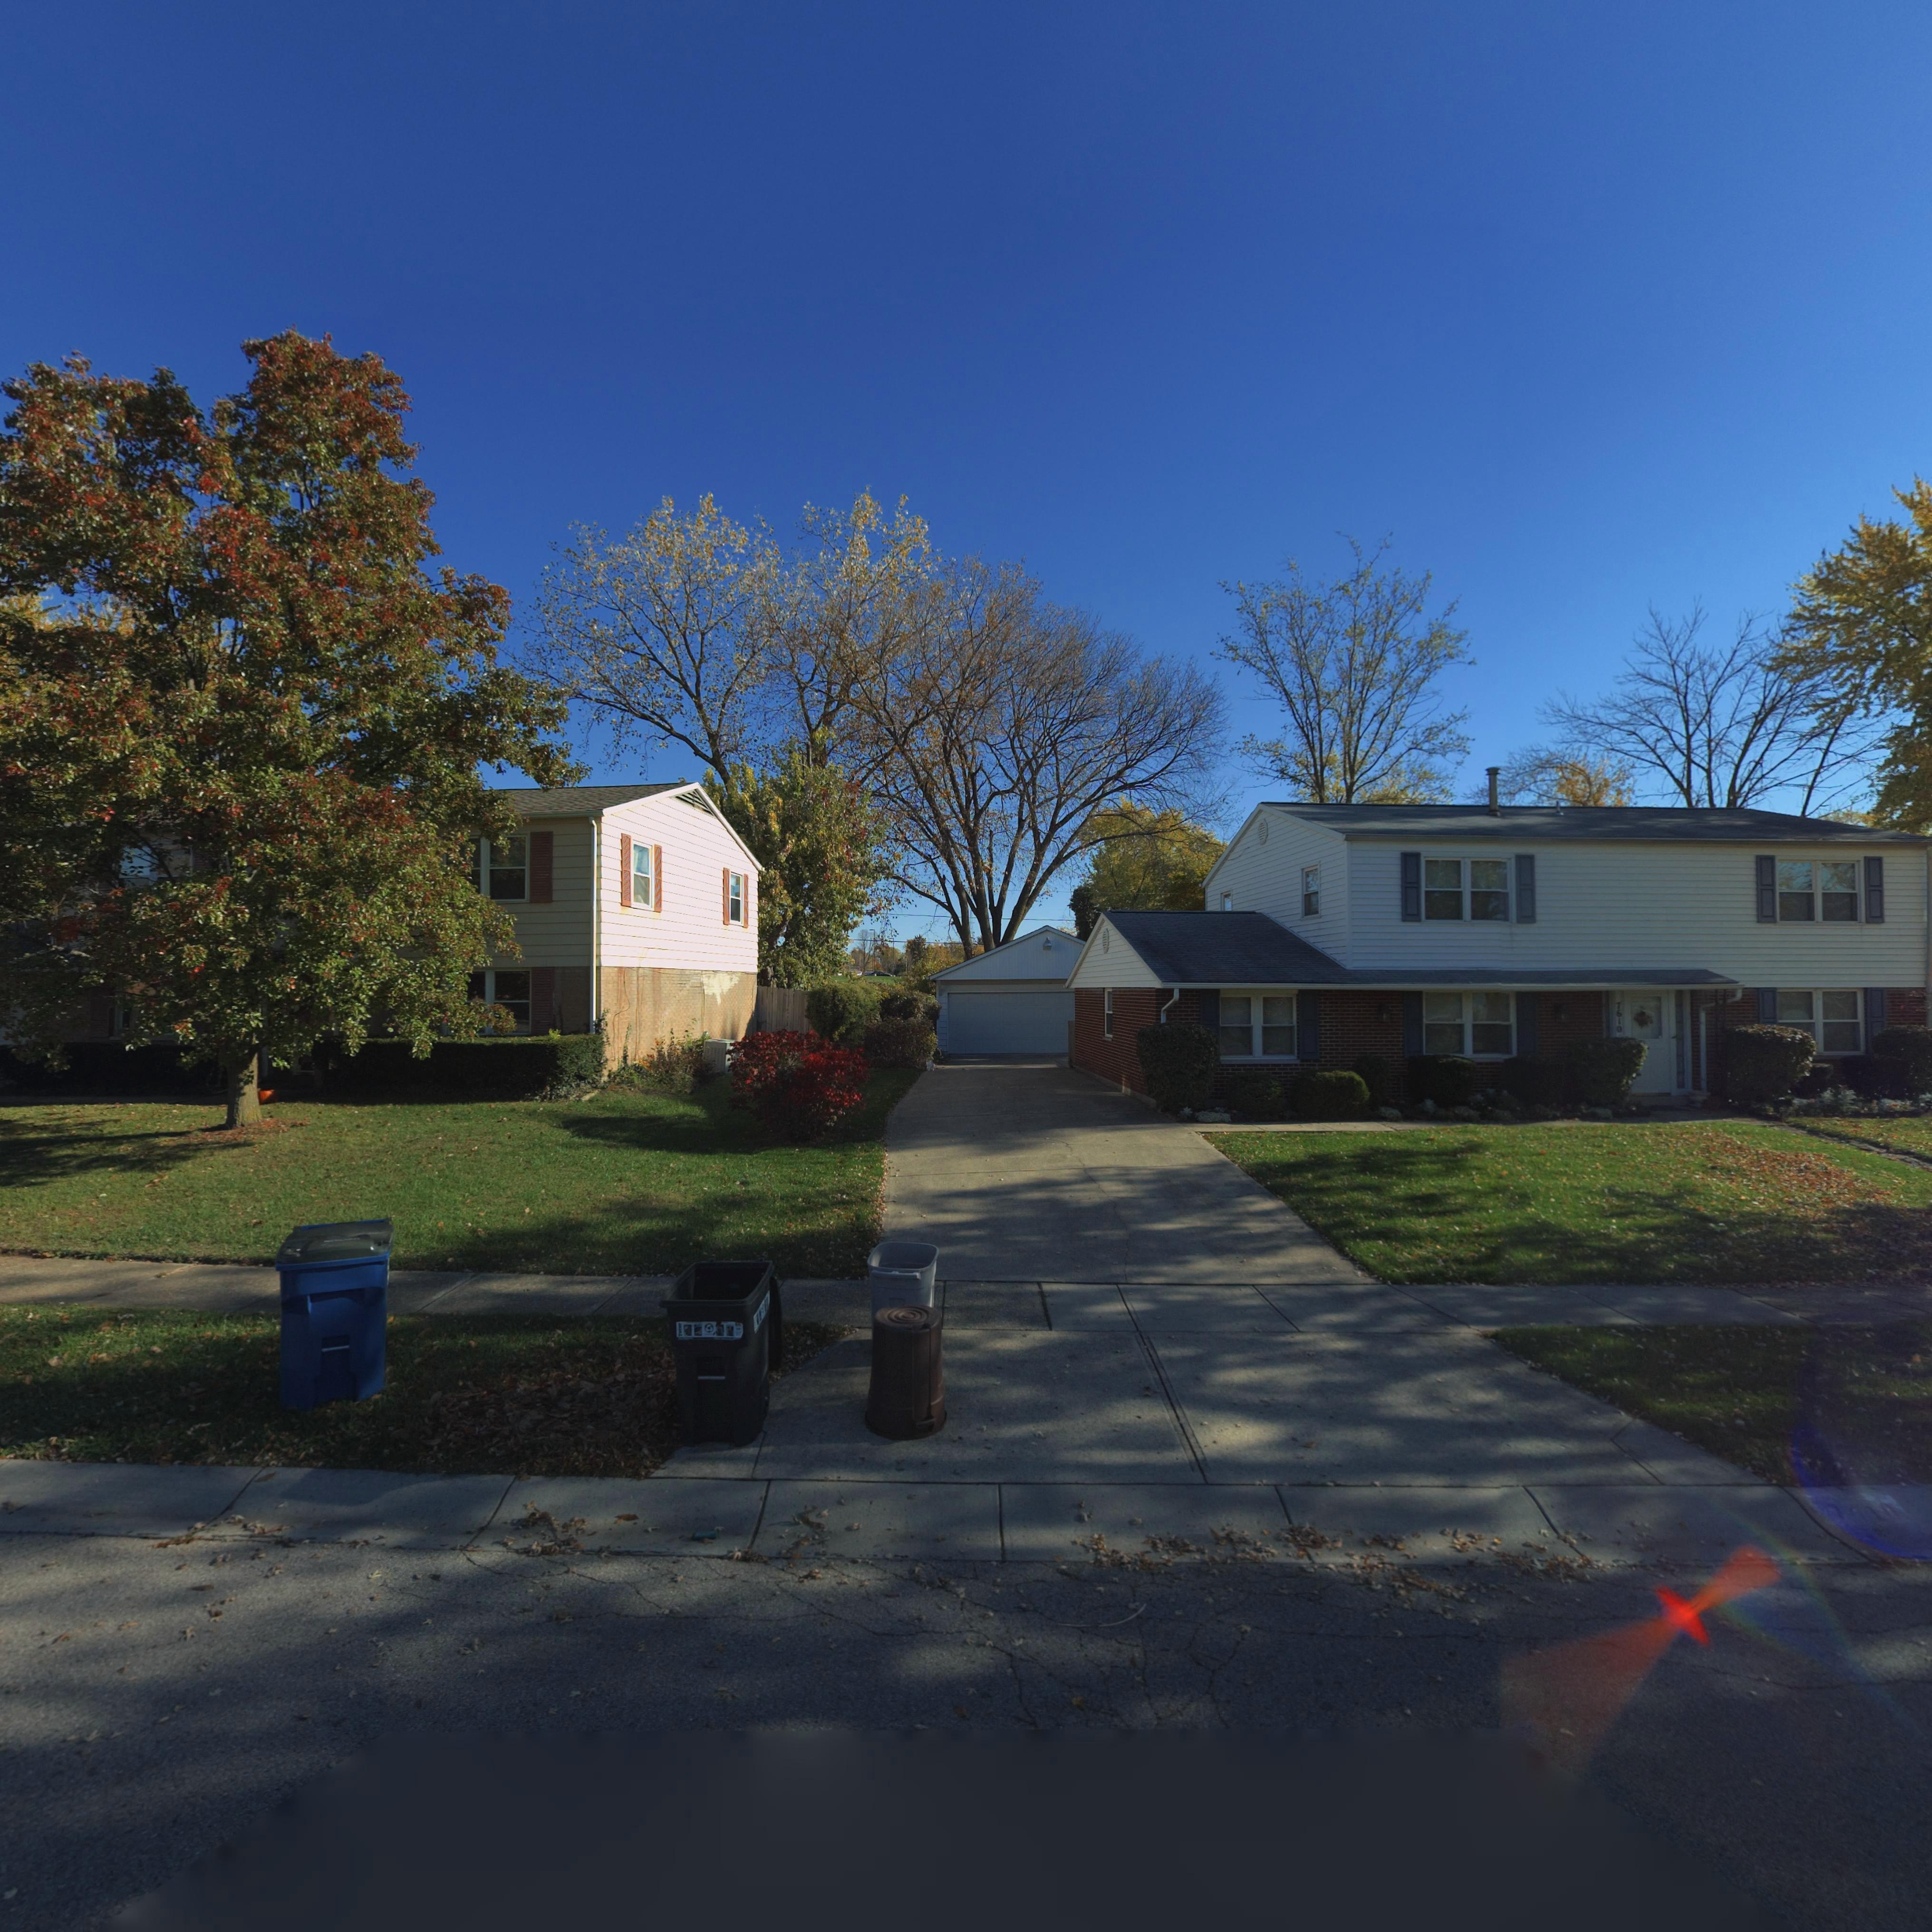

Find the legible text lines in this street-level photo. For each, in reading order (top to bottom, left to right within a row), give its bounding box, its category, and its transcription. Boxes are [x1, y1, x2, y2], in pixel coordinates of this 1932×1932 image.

[1615, 1000, 1623, 1034] StreetNumber: 7610